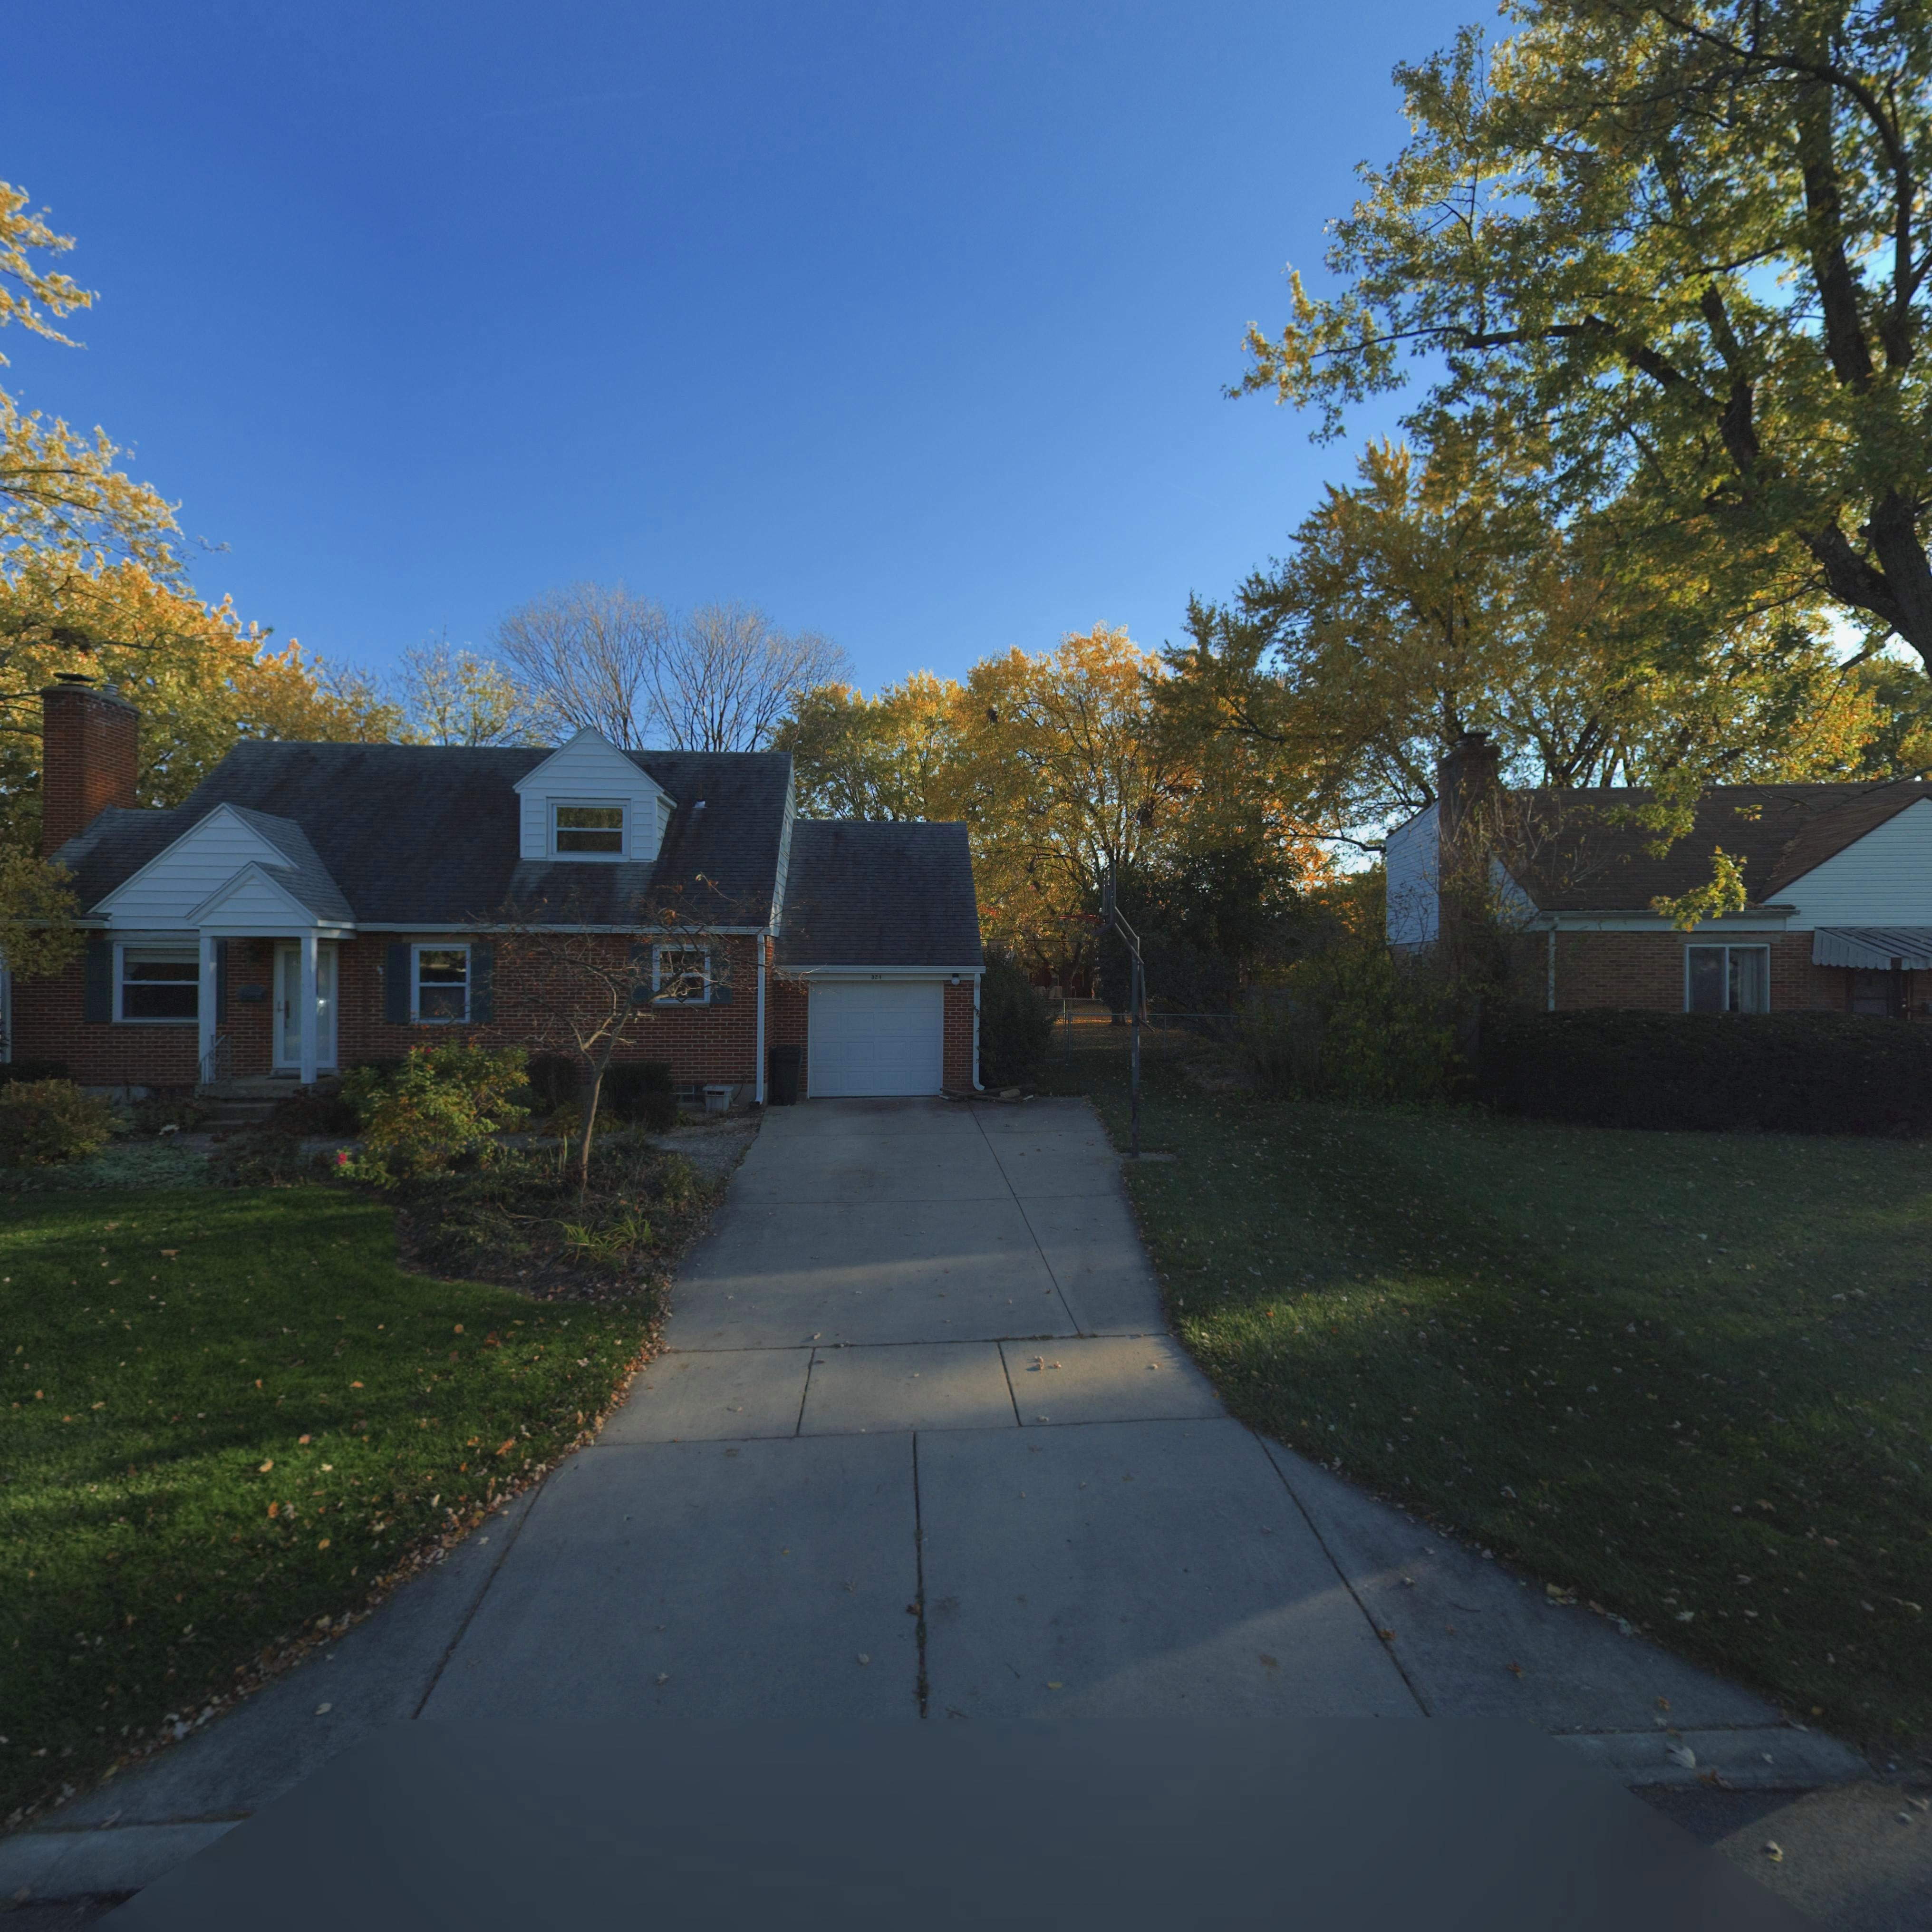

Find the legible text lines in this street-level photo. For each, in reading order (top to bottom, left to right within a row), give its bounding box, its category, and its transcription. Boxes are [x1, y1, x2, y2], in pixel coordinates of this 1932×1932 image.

[870, 974, 882, 980] StreetNumber: 524